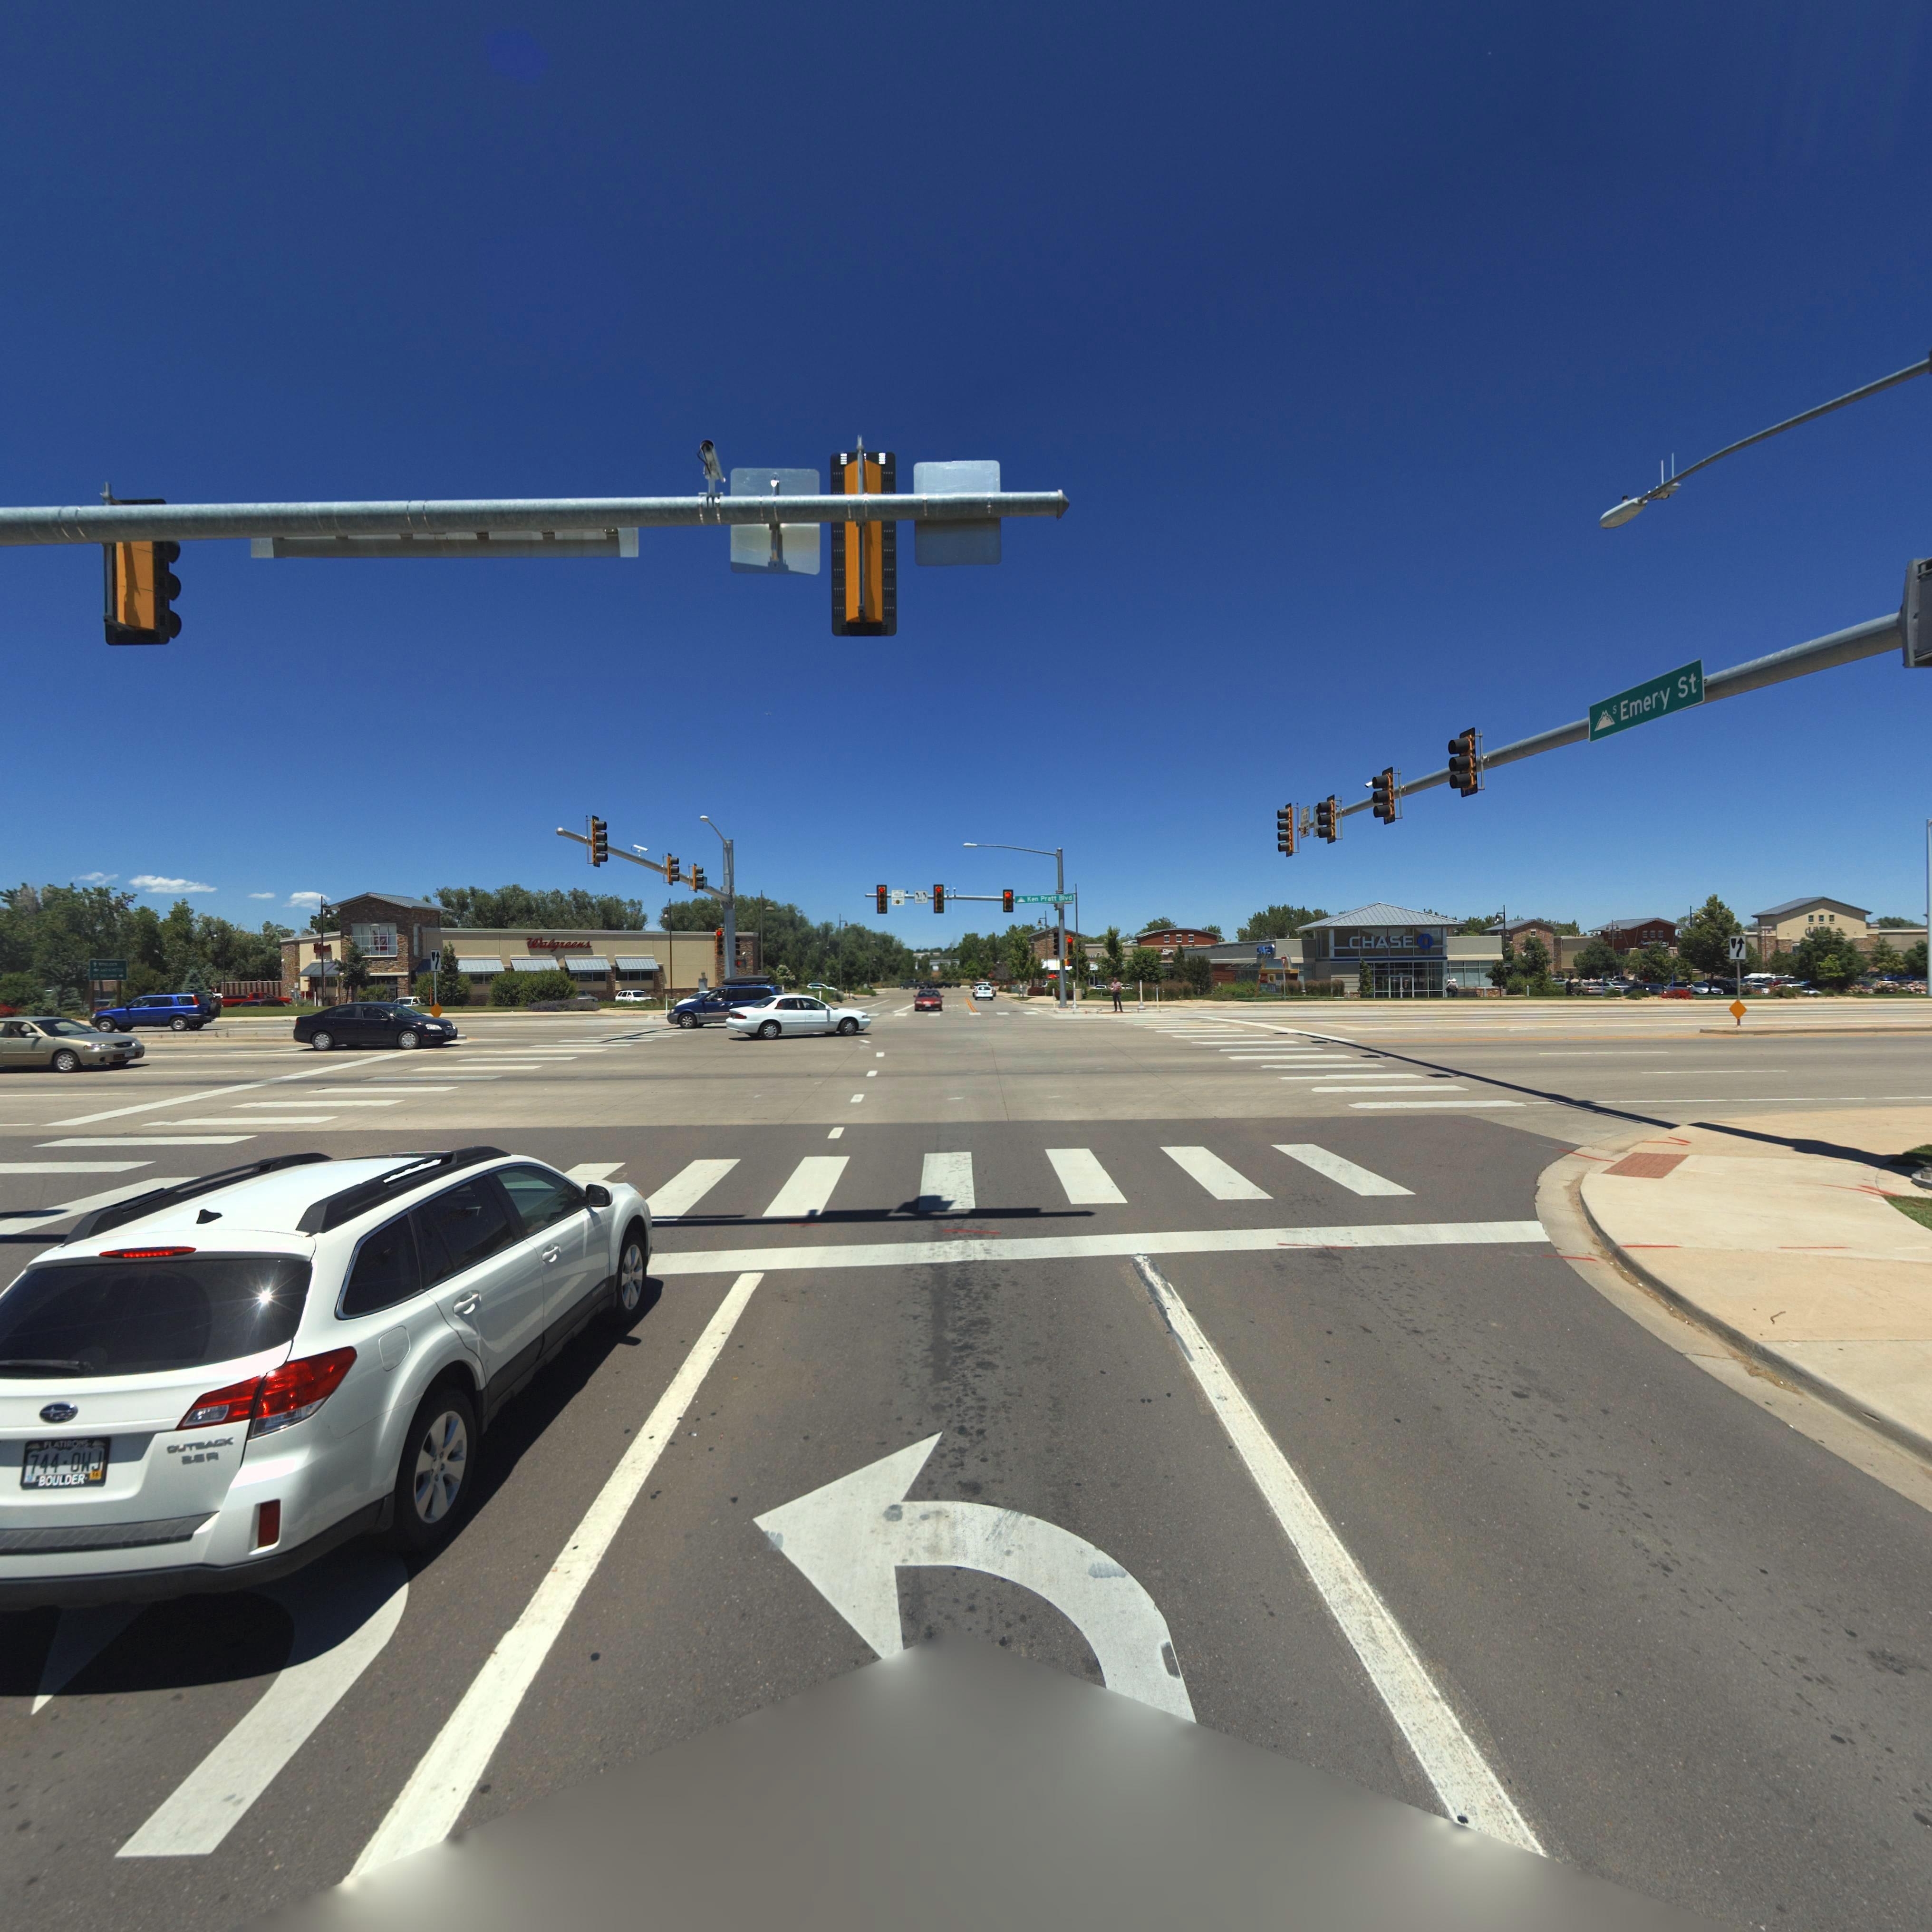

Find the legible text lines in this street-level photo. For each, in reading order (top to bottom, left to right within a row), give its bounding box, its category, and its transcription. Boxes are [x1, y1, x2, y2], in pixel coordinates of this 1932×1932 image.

[1612, 672, 1698, 722] StreetName: S Emery St
[1027, 894, 1072, 902] StreetName: Ken Pratt Blvd
[526, 937, 590, 953] BusinessName: Walgreens
[1348, 935, 1413, 949] BusinessName: CHASE
[1638, 939, 1670, 947] BusinessName: M****** ***y
[313, 942, 331, 956] BusinessName: W********
[1088, 951, 1104, 958] BusinessName: cc****
[1152, 948, 1174, 954] BusinessName: ****t C**ps
[1256, 945, 1271, 954] BusinessName: CHA*E